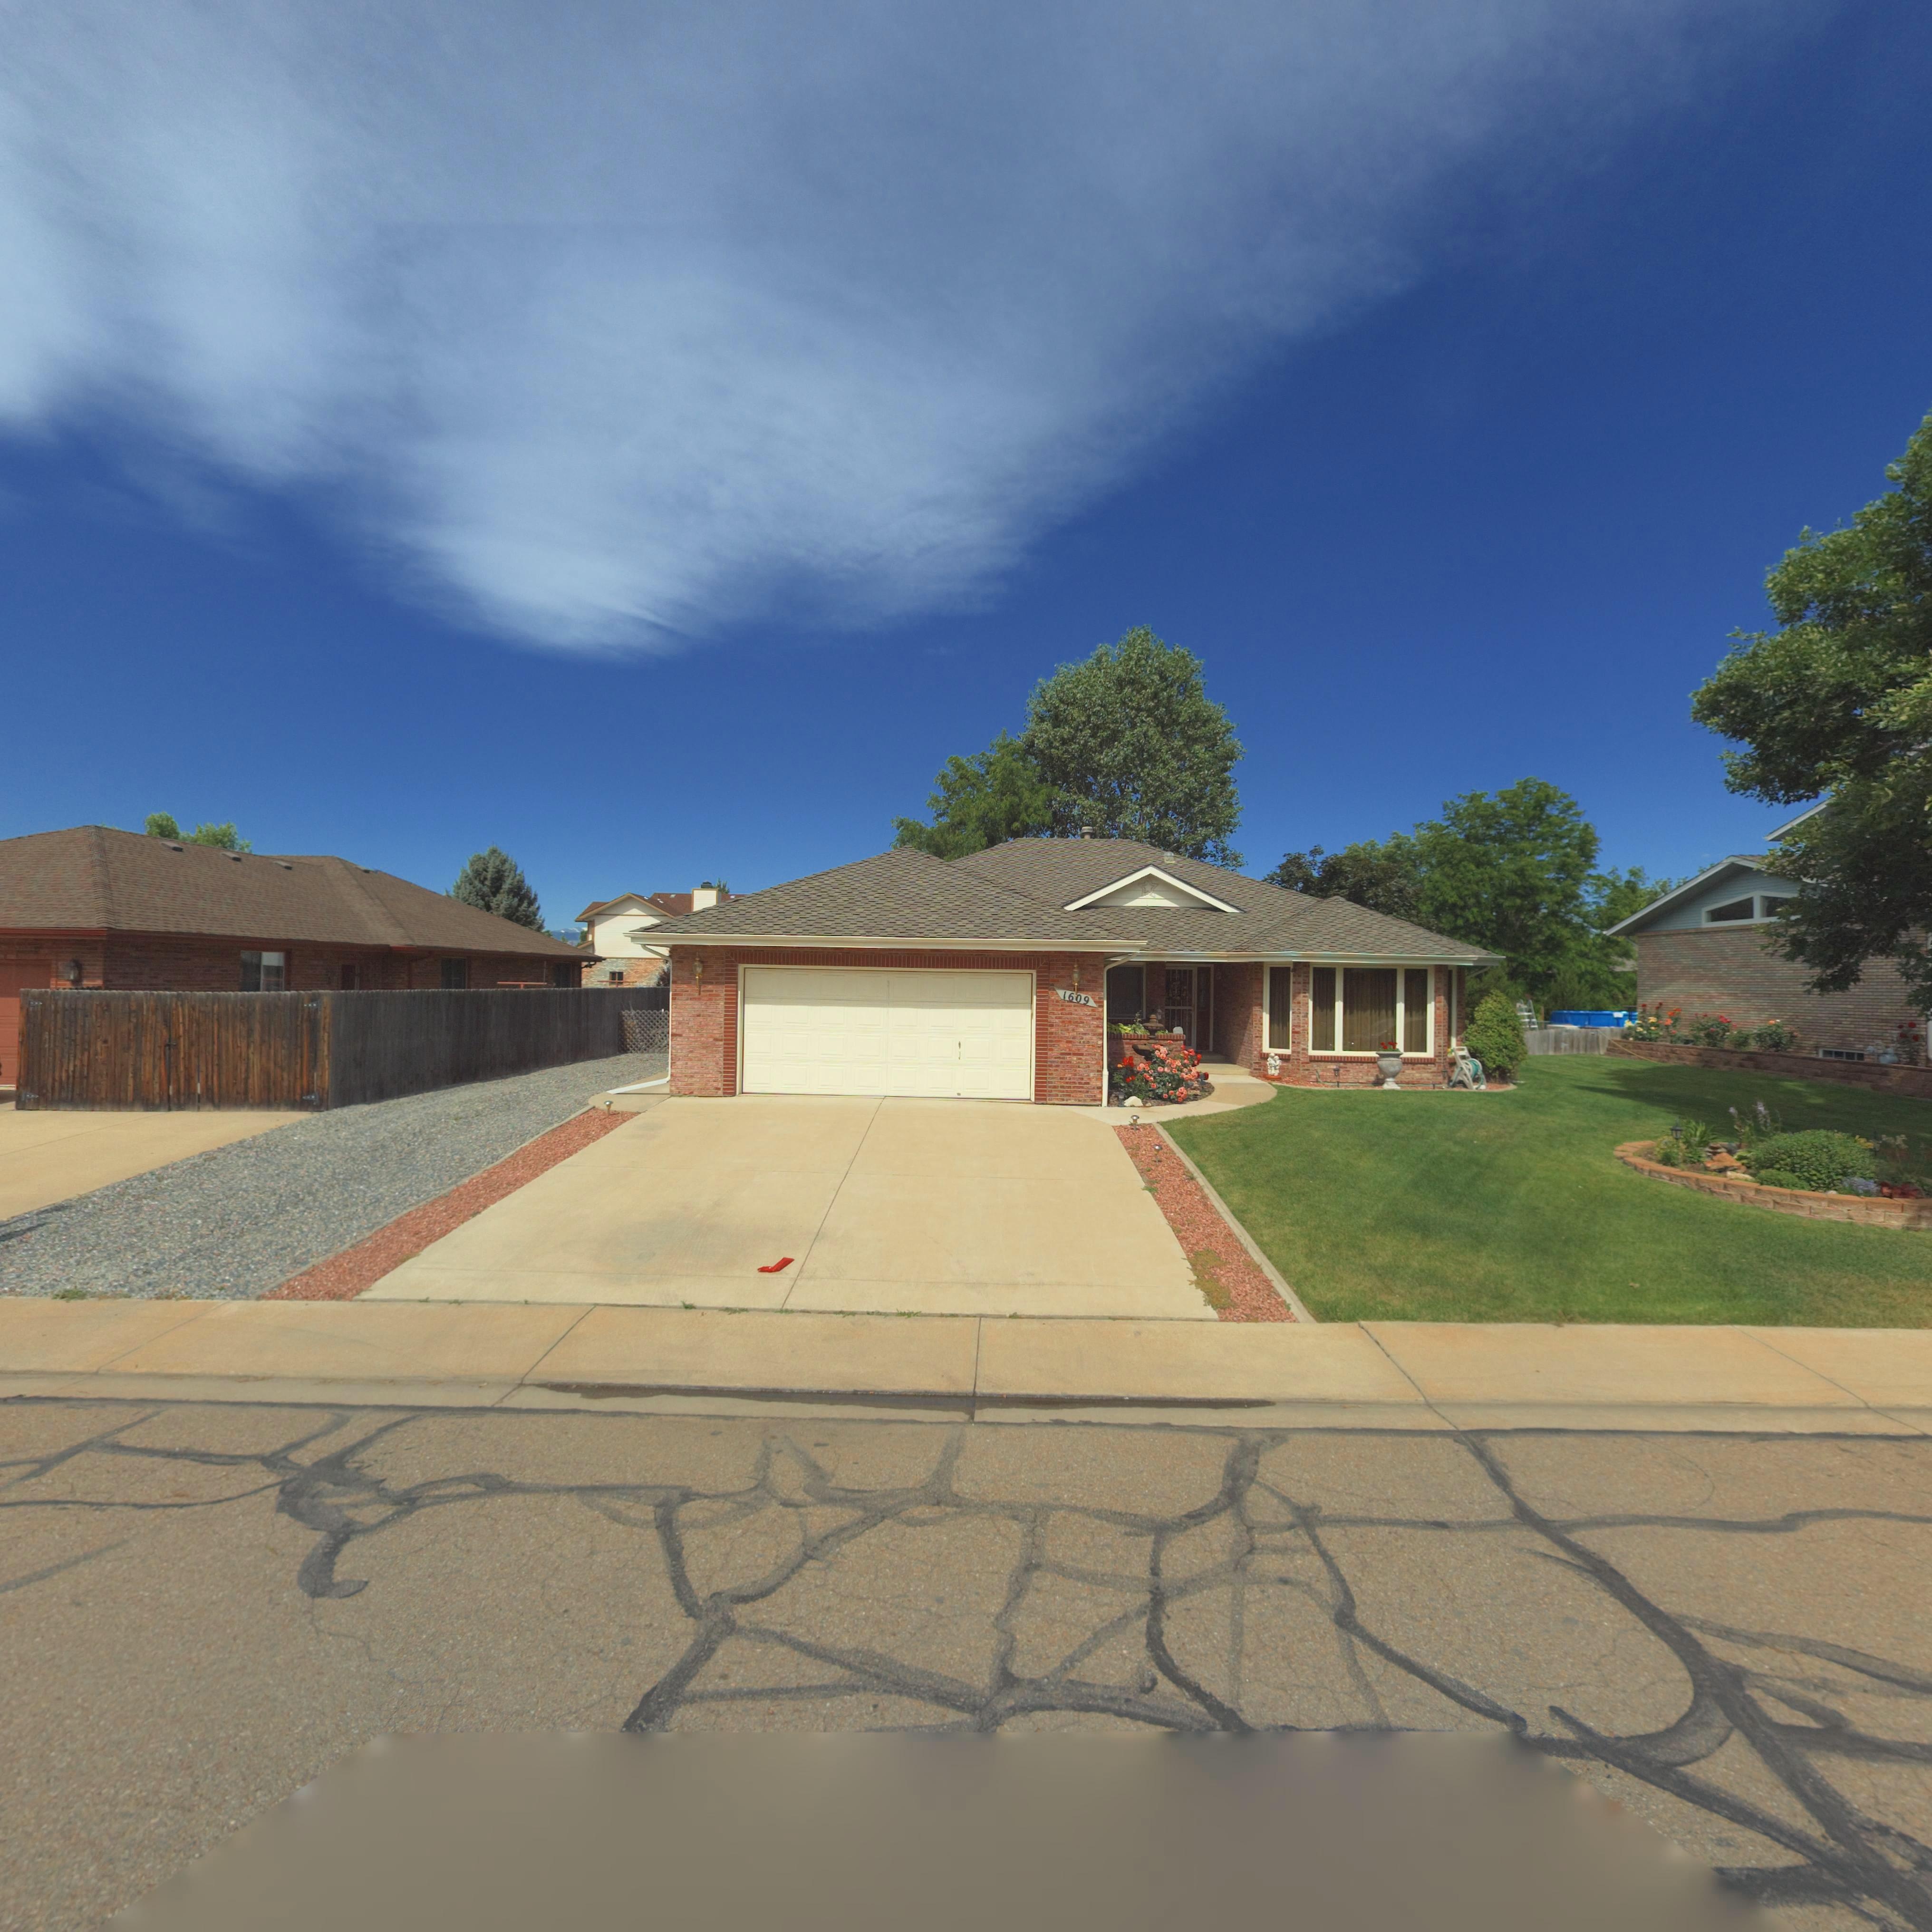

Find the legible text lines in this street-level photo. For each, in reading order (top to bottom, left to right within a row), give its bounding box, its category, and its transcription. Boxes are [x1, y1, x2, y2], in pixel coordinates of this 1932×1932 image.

[1063, 990, 1089, 1005] StreetNumber: 1609